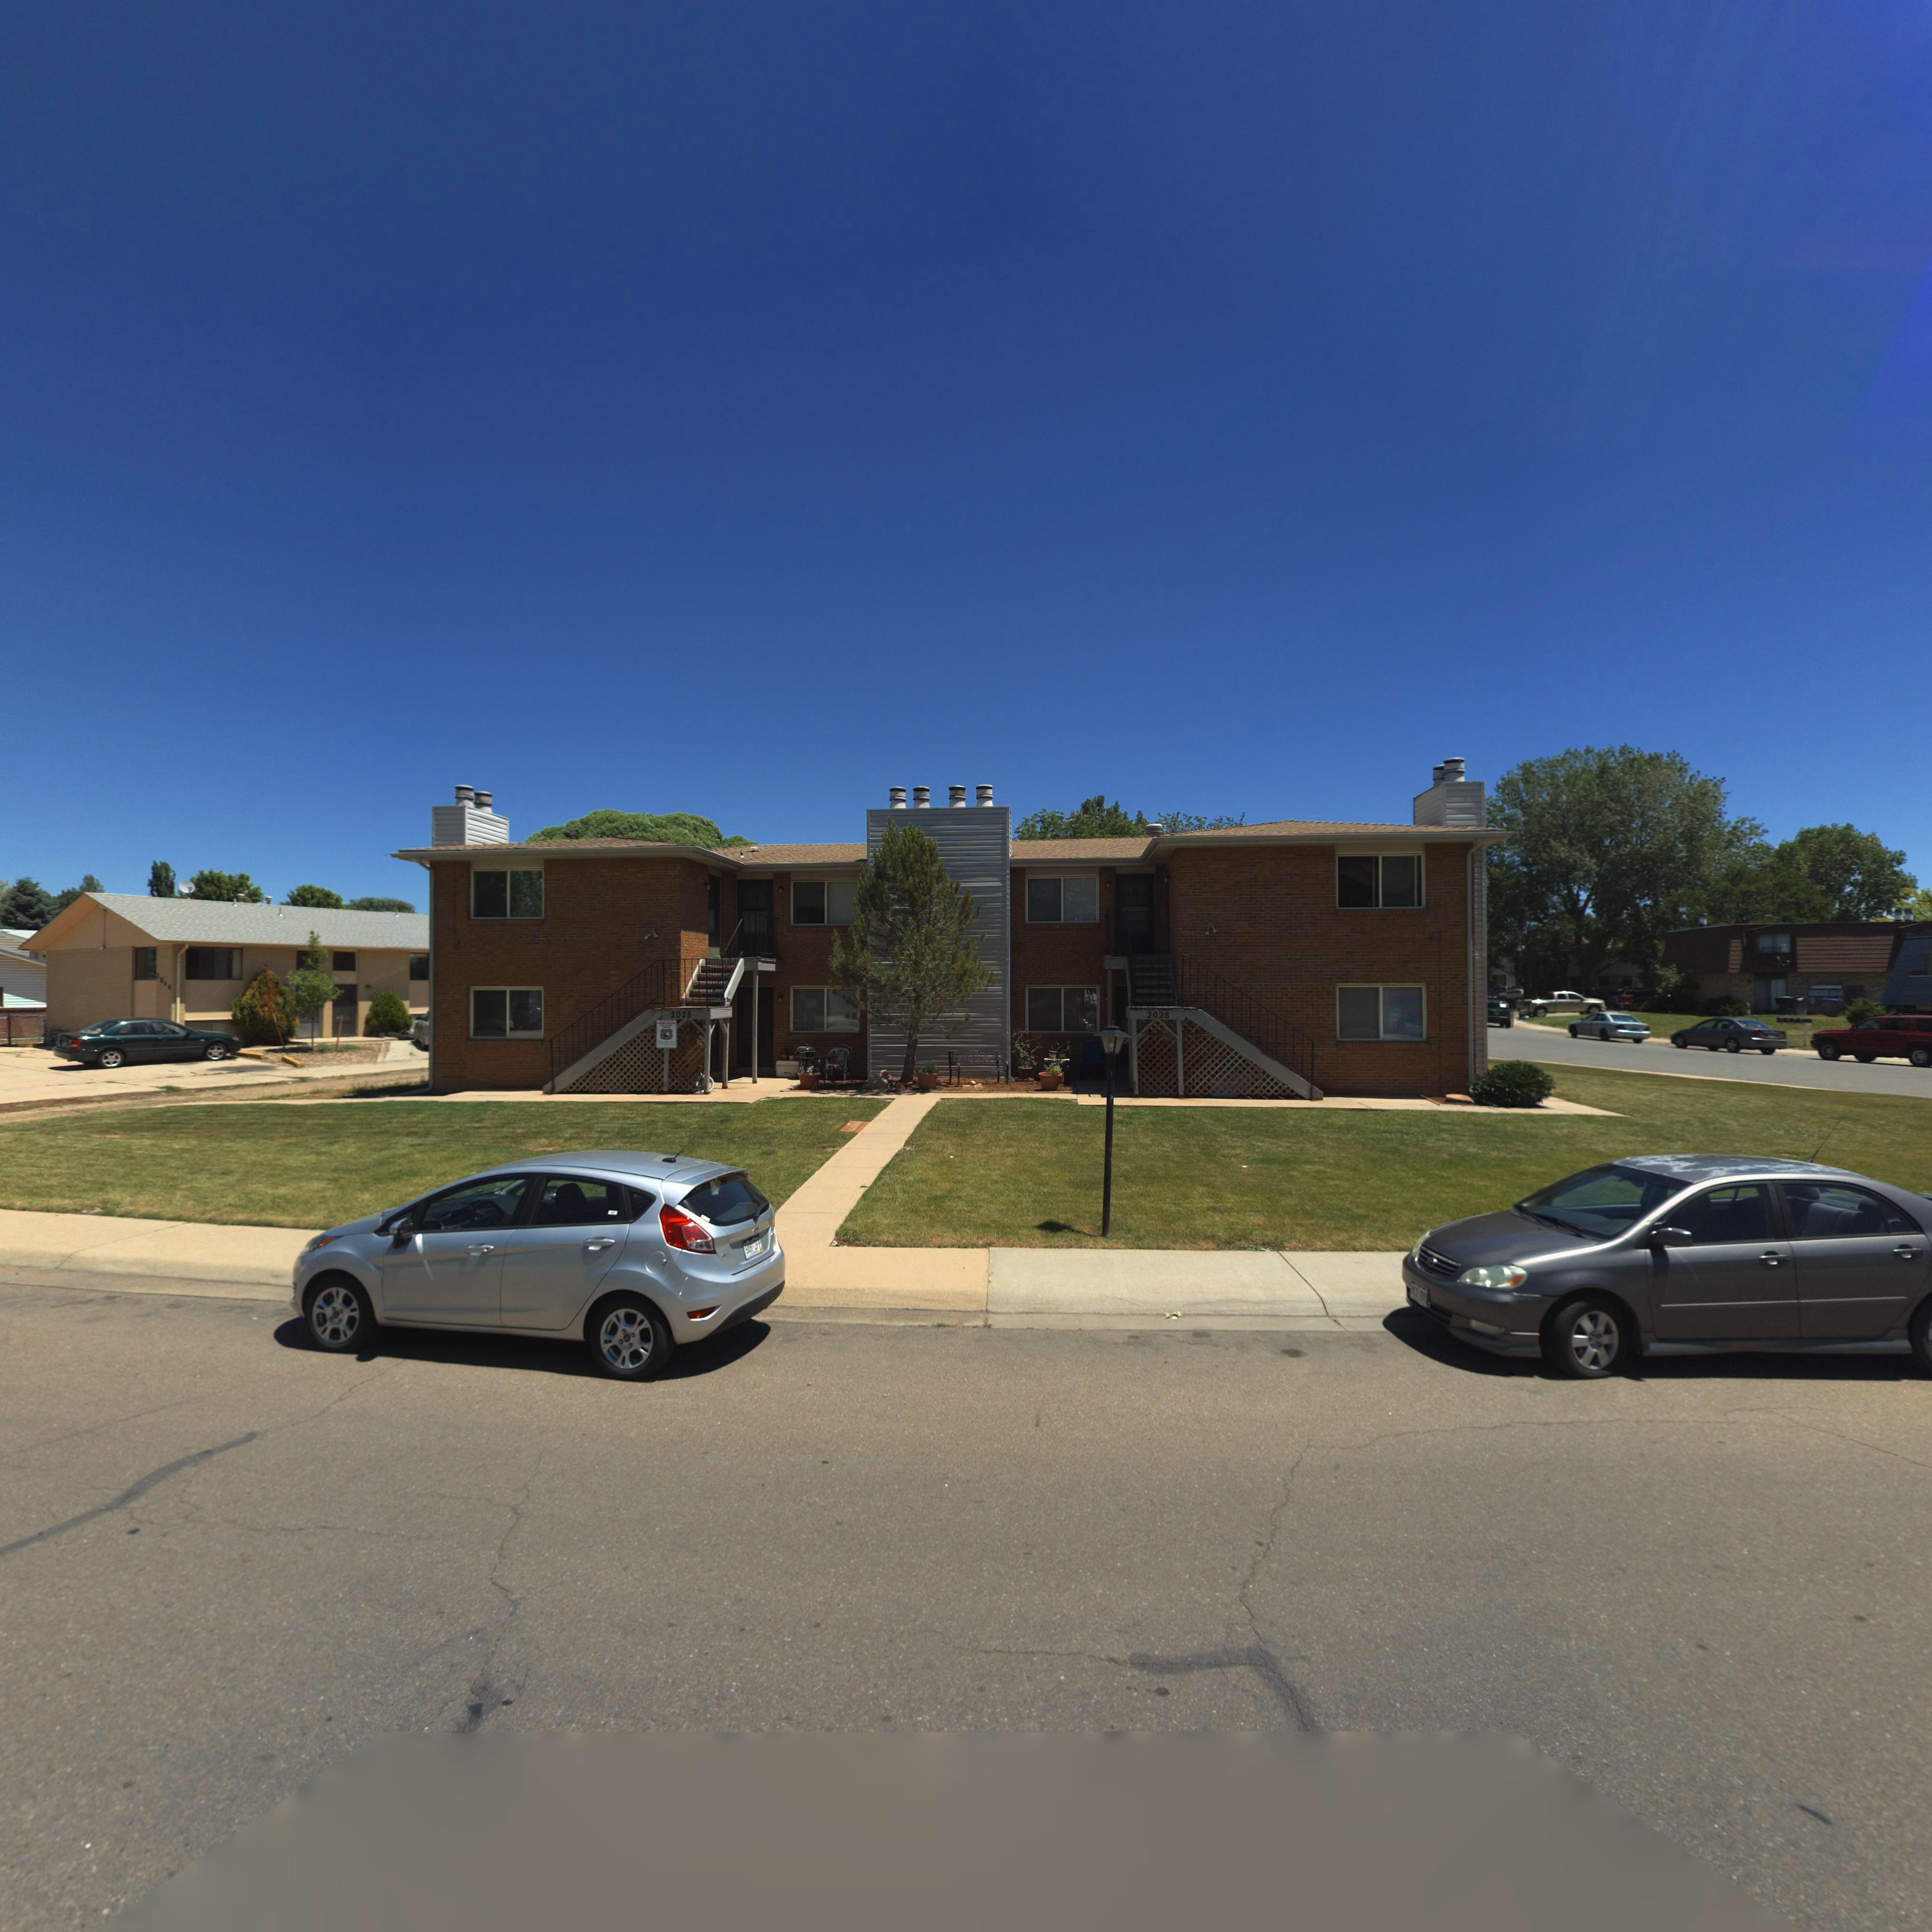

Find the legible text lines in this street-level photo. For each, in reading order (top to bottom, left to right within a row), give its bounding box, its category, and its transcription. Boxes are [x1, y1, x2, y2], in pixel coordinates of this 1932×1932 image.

[155, 972, 171, 991] StreetNumber: 20**
[671, 1011, 691, 1018] StreetNumber: 2028
[1146, 1011, 1169, 1019] StreetNumber: 2028